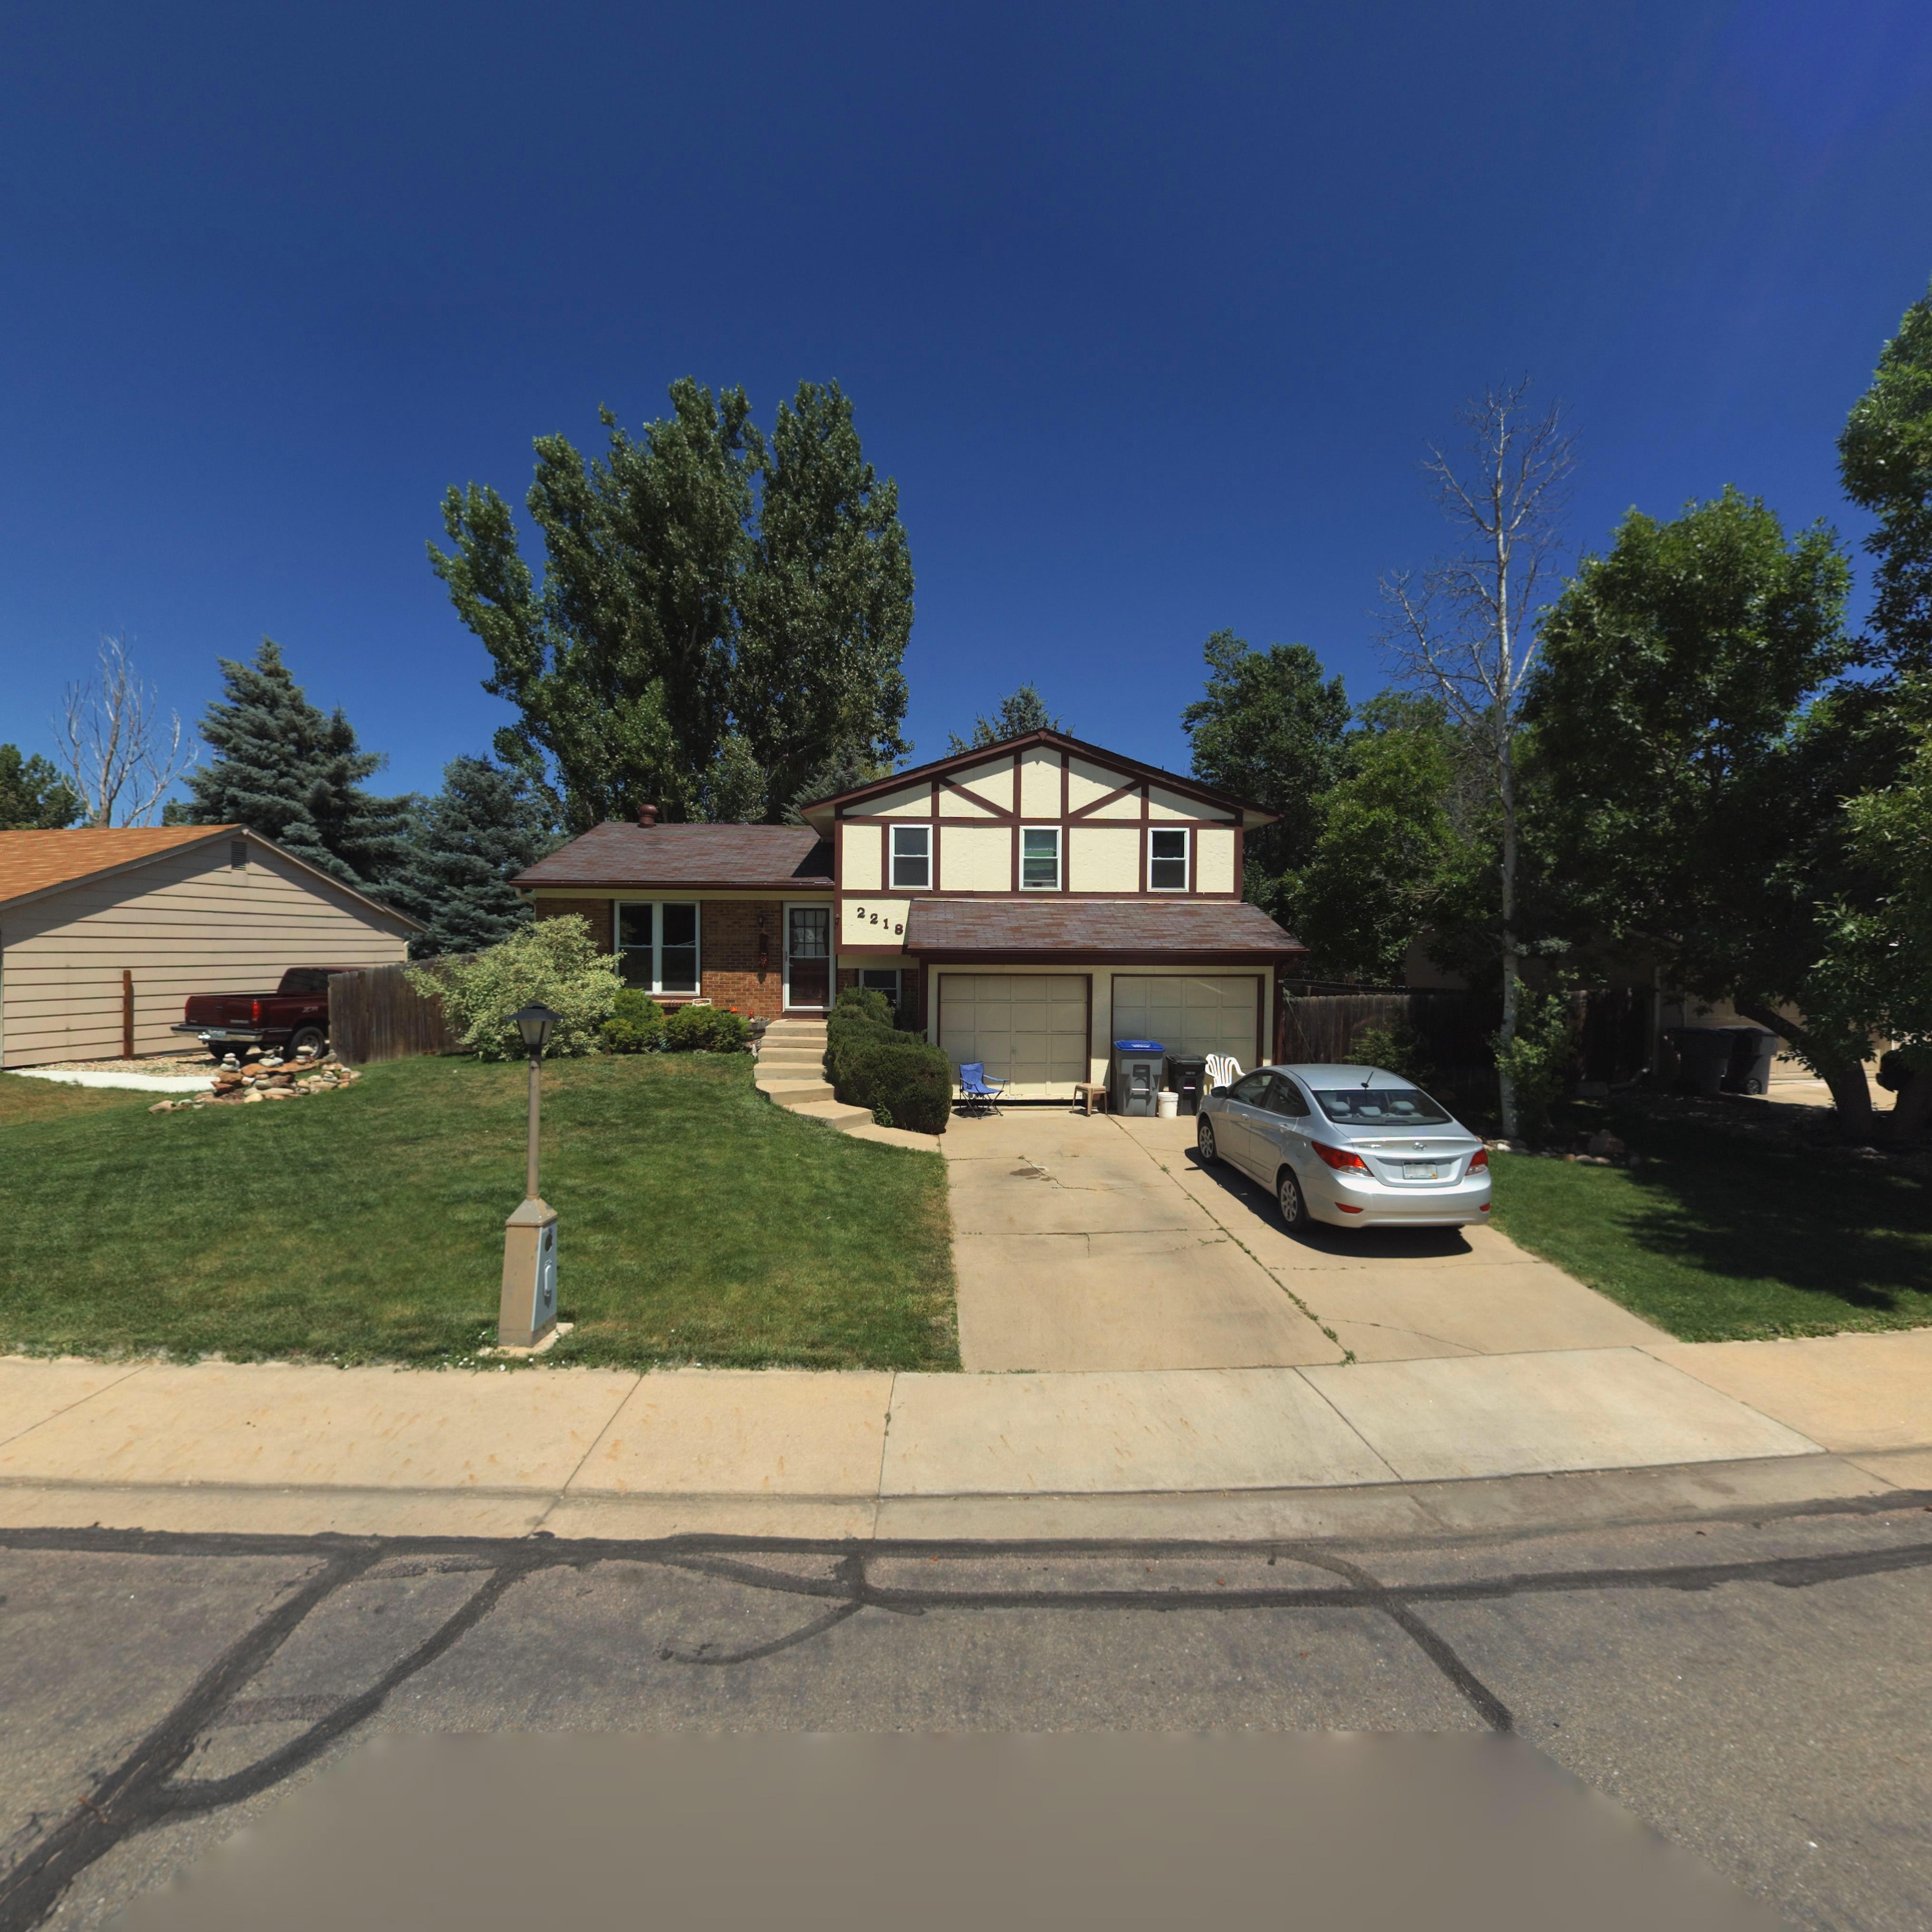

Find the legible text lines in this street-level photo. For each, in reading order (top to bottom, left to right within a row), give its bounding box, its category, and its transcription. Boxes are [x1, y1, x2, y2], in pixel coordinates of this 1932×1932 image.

[855, 906, 904, 936] StreetNumber: 2218